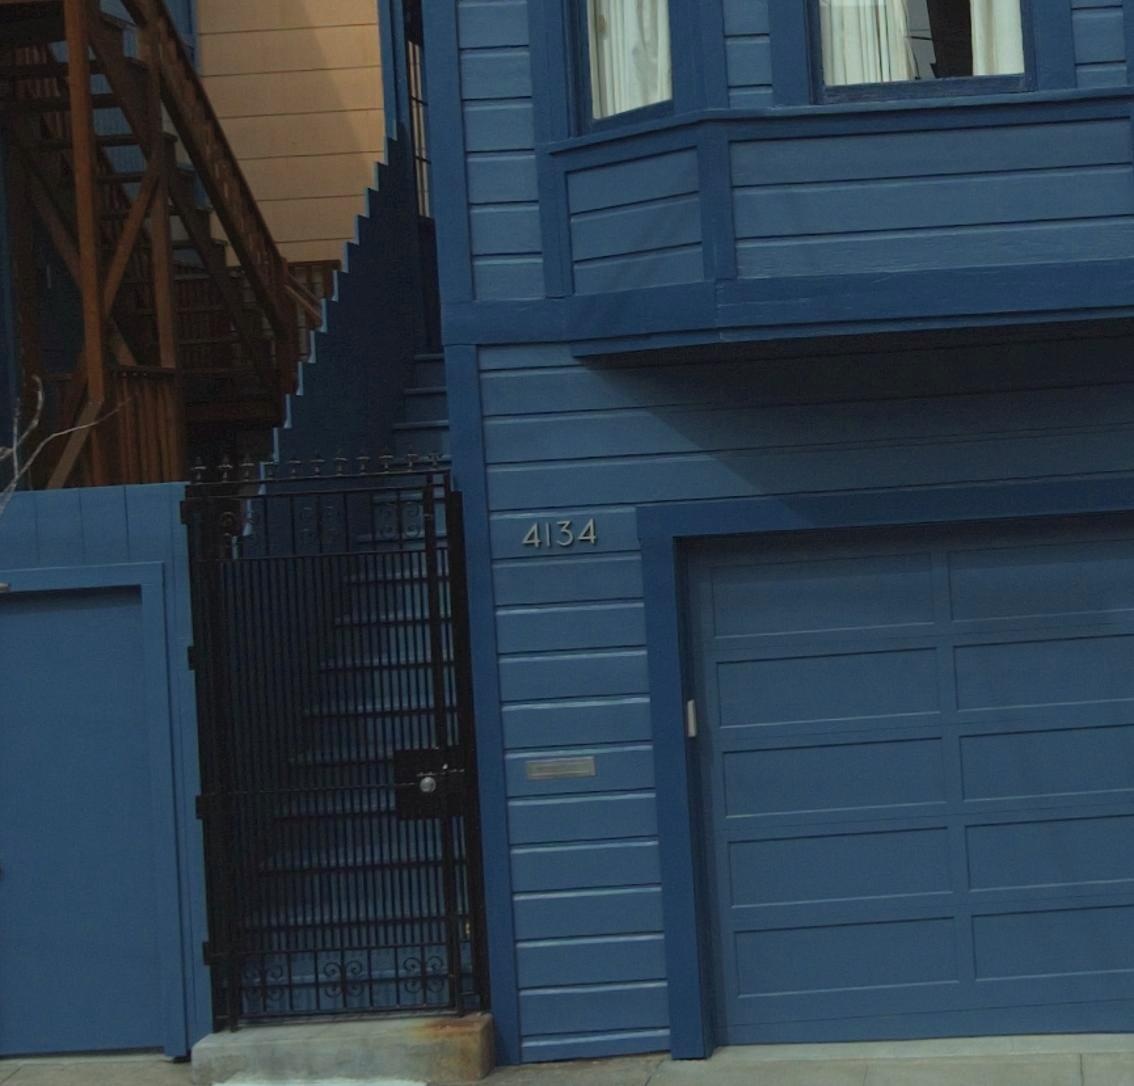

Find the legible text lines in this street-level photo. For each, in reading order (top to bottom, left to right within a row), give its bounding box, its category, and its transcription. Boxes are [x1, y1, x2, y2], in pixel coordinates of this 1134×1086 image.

[520, 517, 598, 550] StreetNumber: 4134